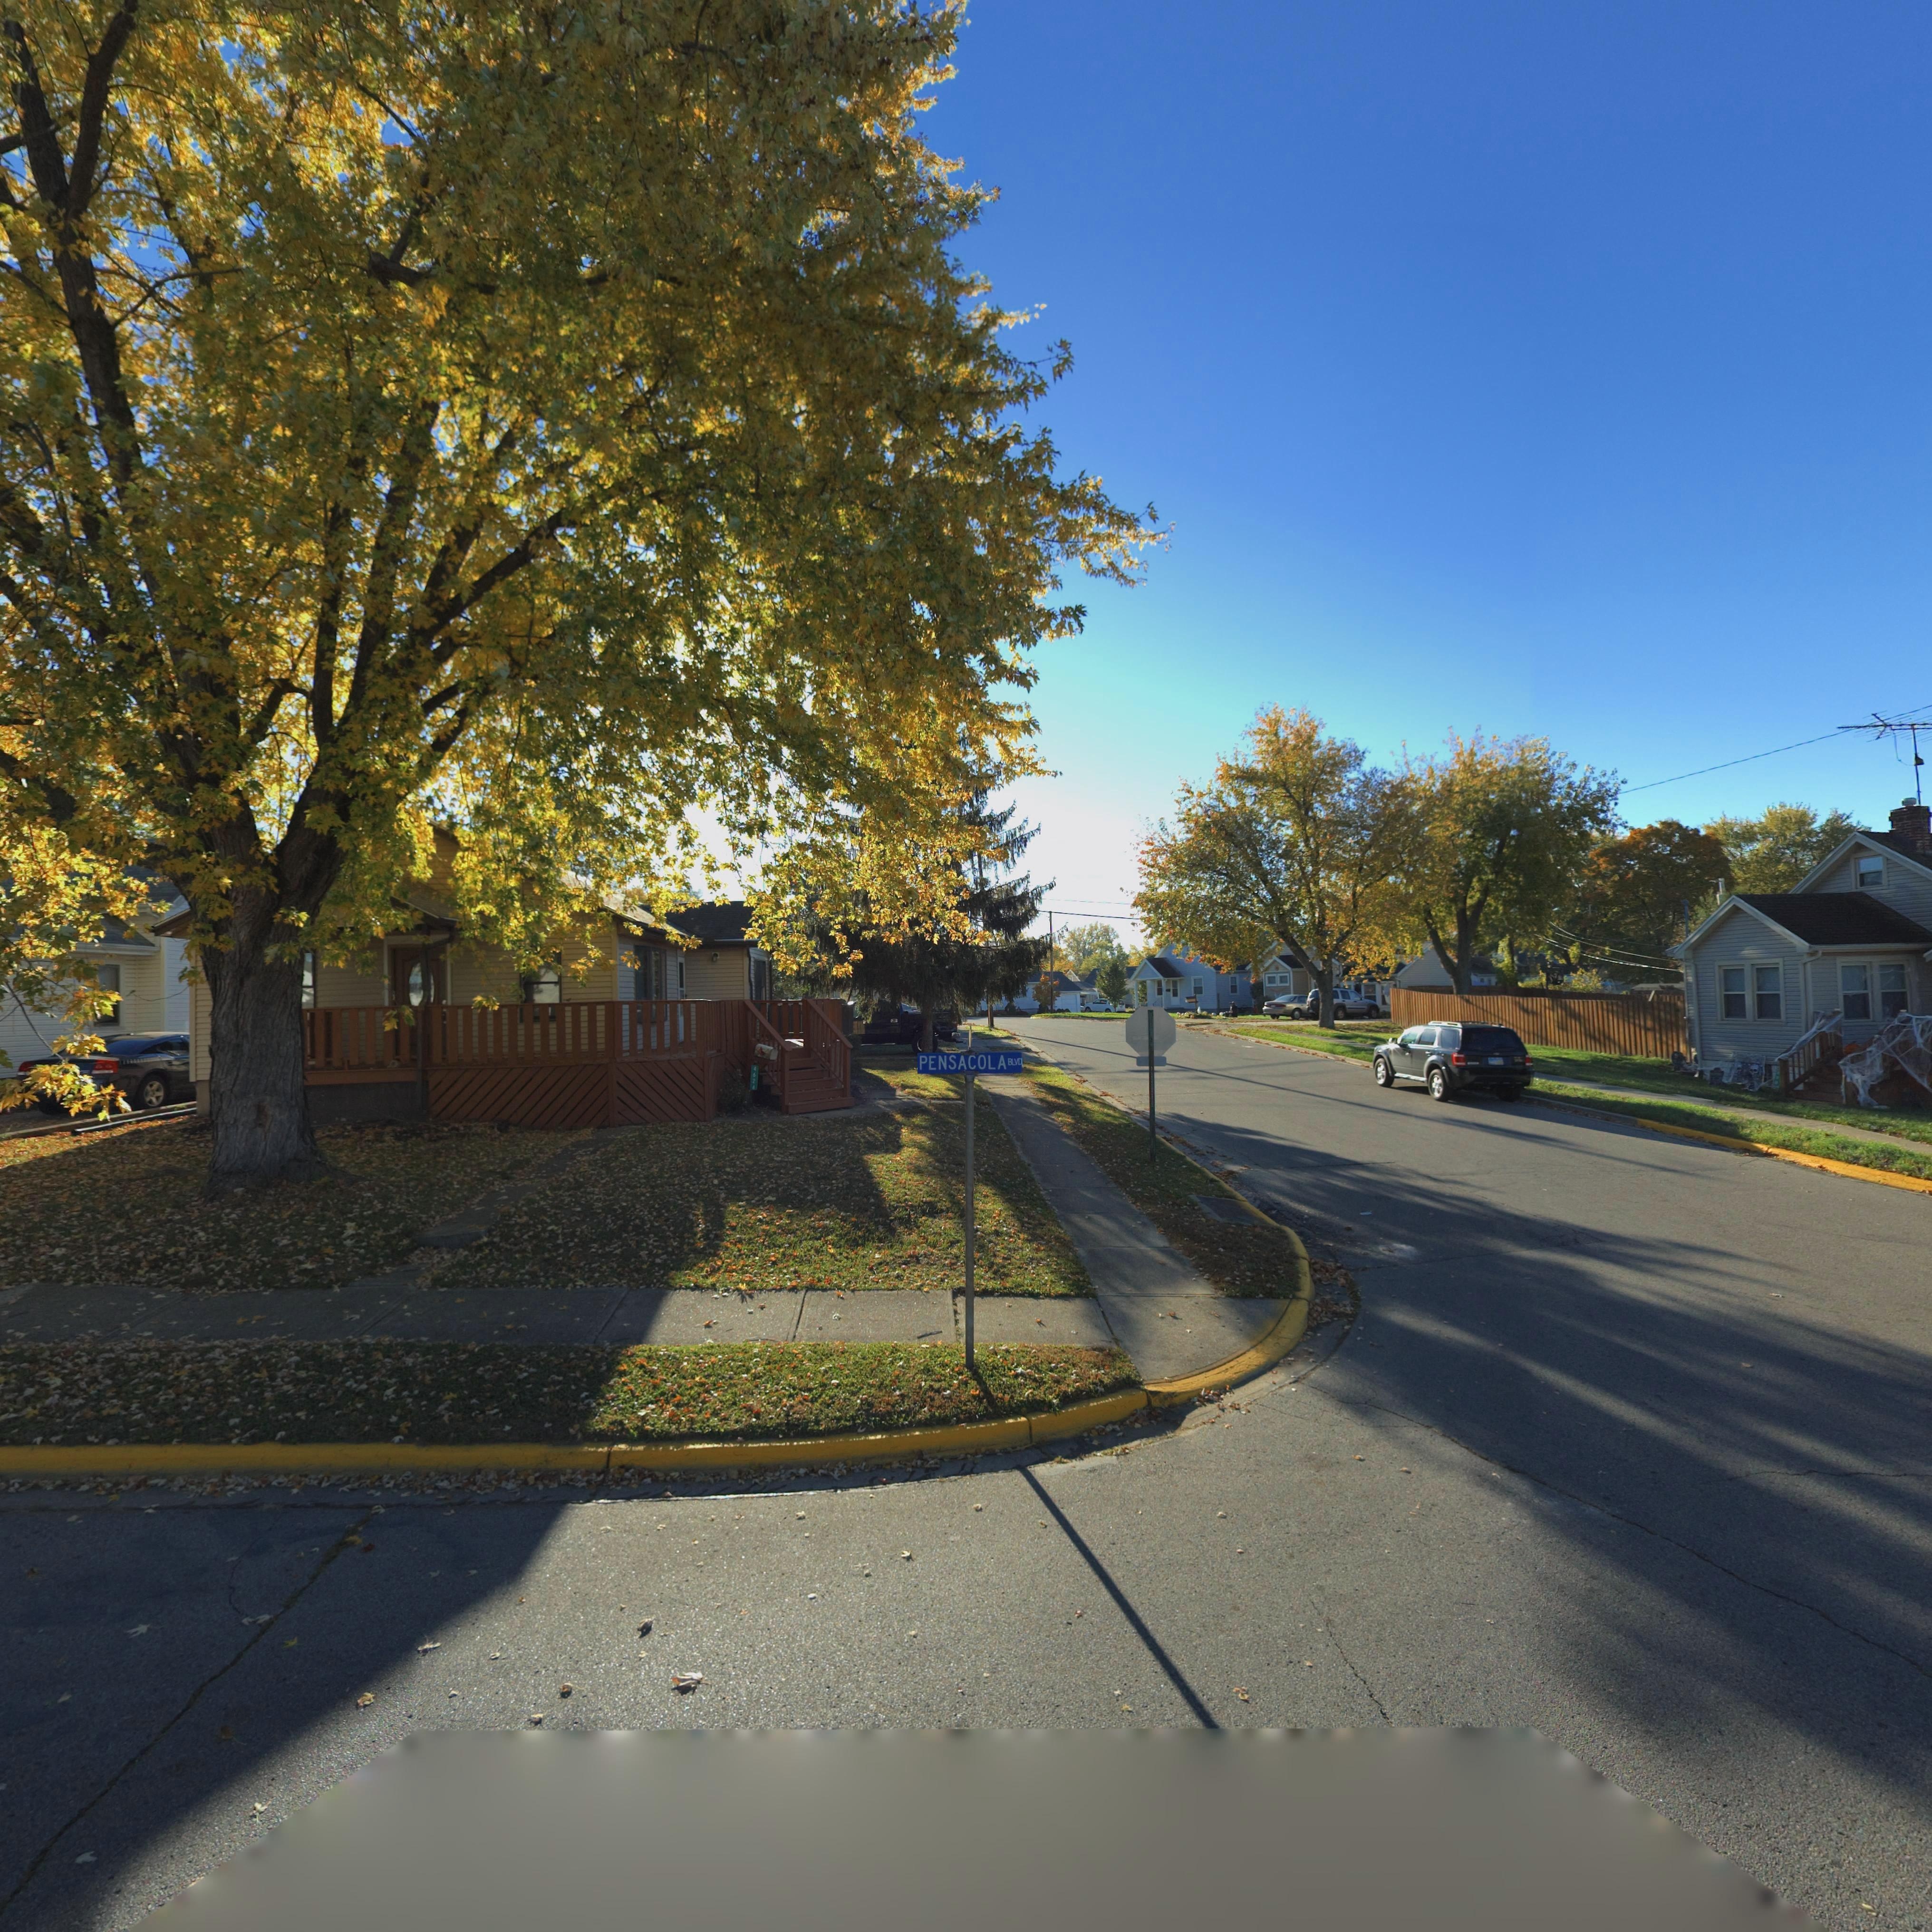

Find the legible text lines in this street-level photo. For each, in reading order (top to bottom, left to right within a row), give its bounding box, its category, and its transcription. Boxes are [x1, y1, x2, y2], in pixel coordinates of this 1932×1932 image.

[751, 1065, 757, 1091] StreetNumber: 4624